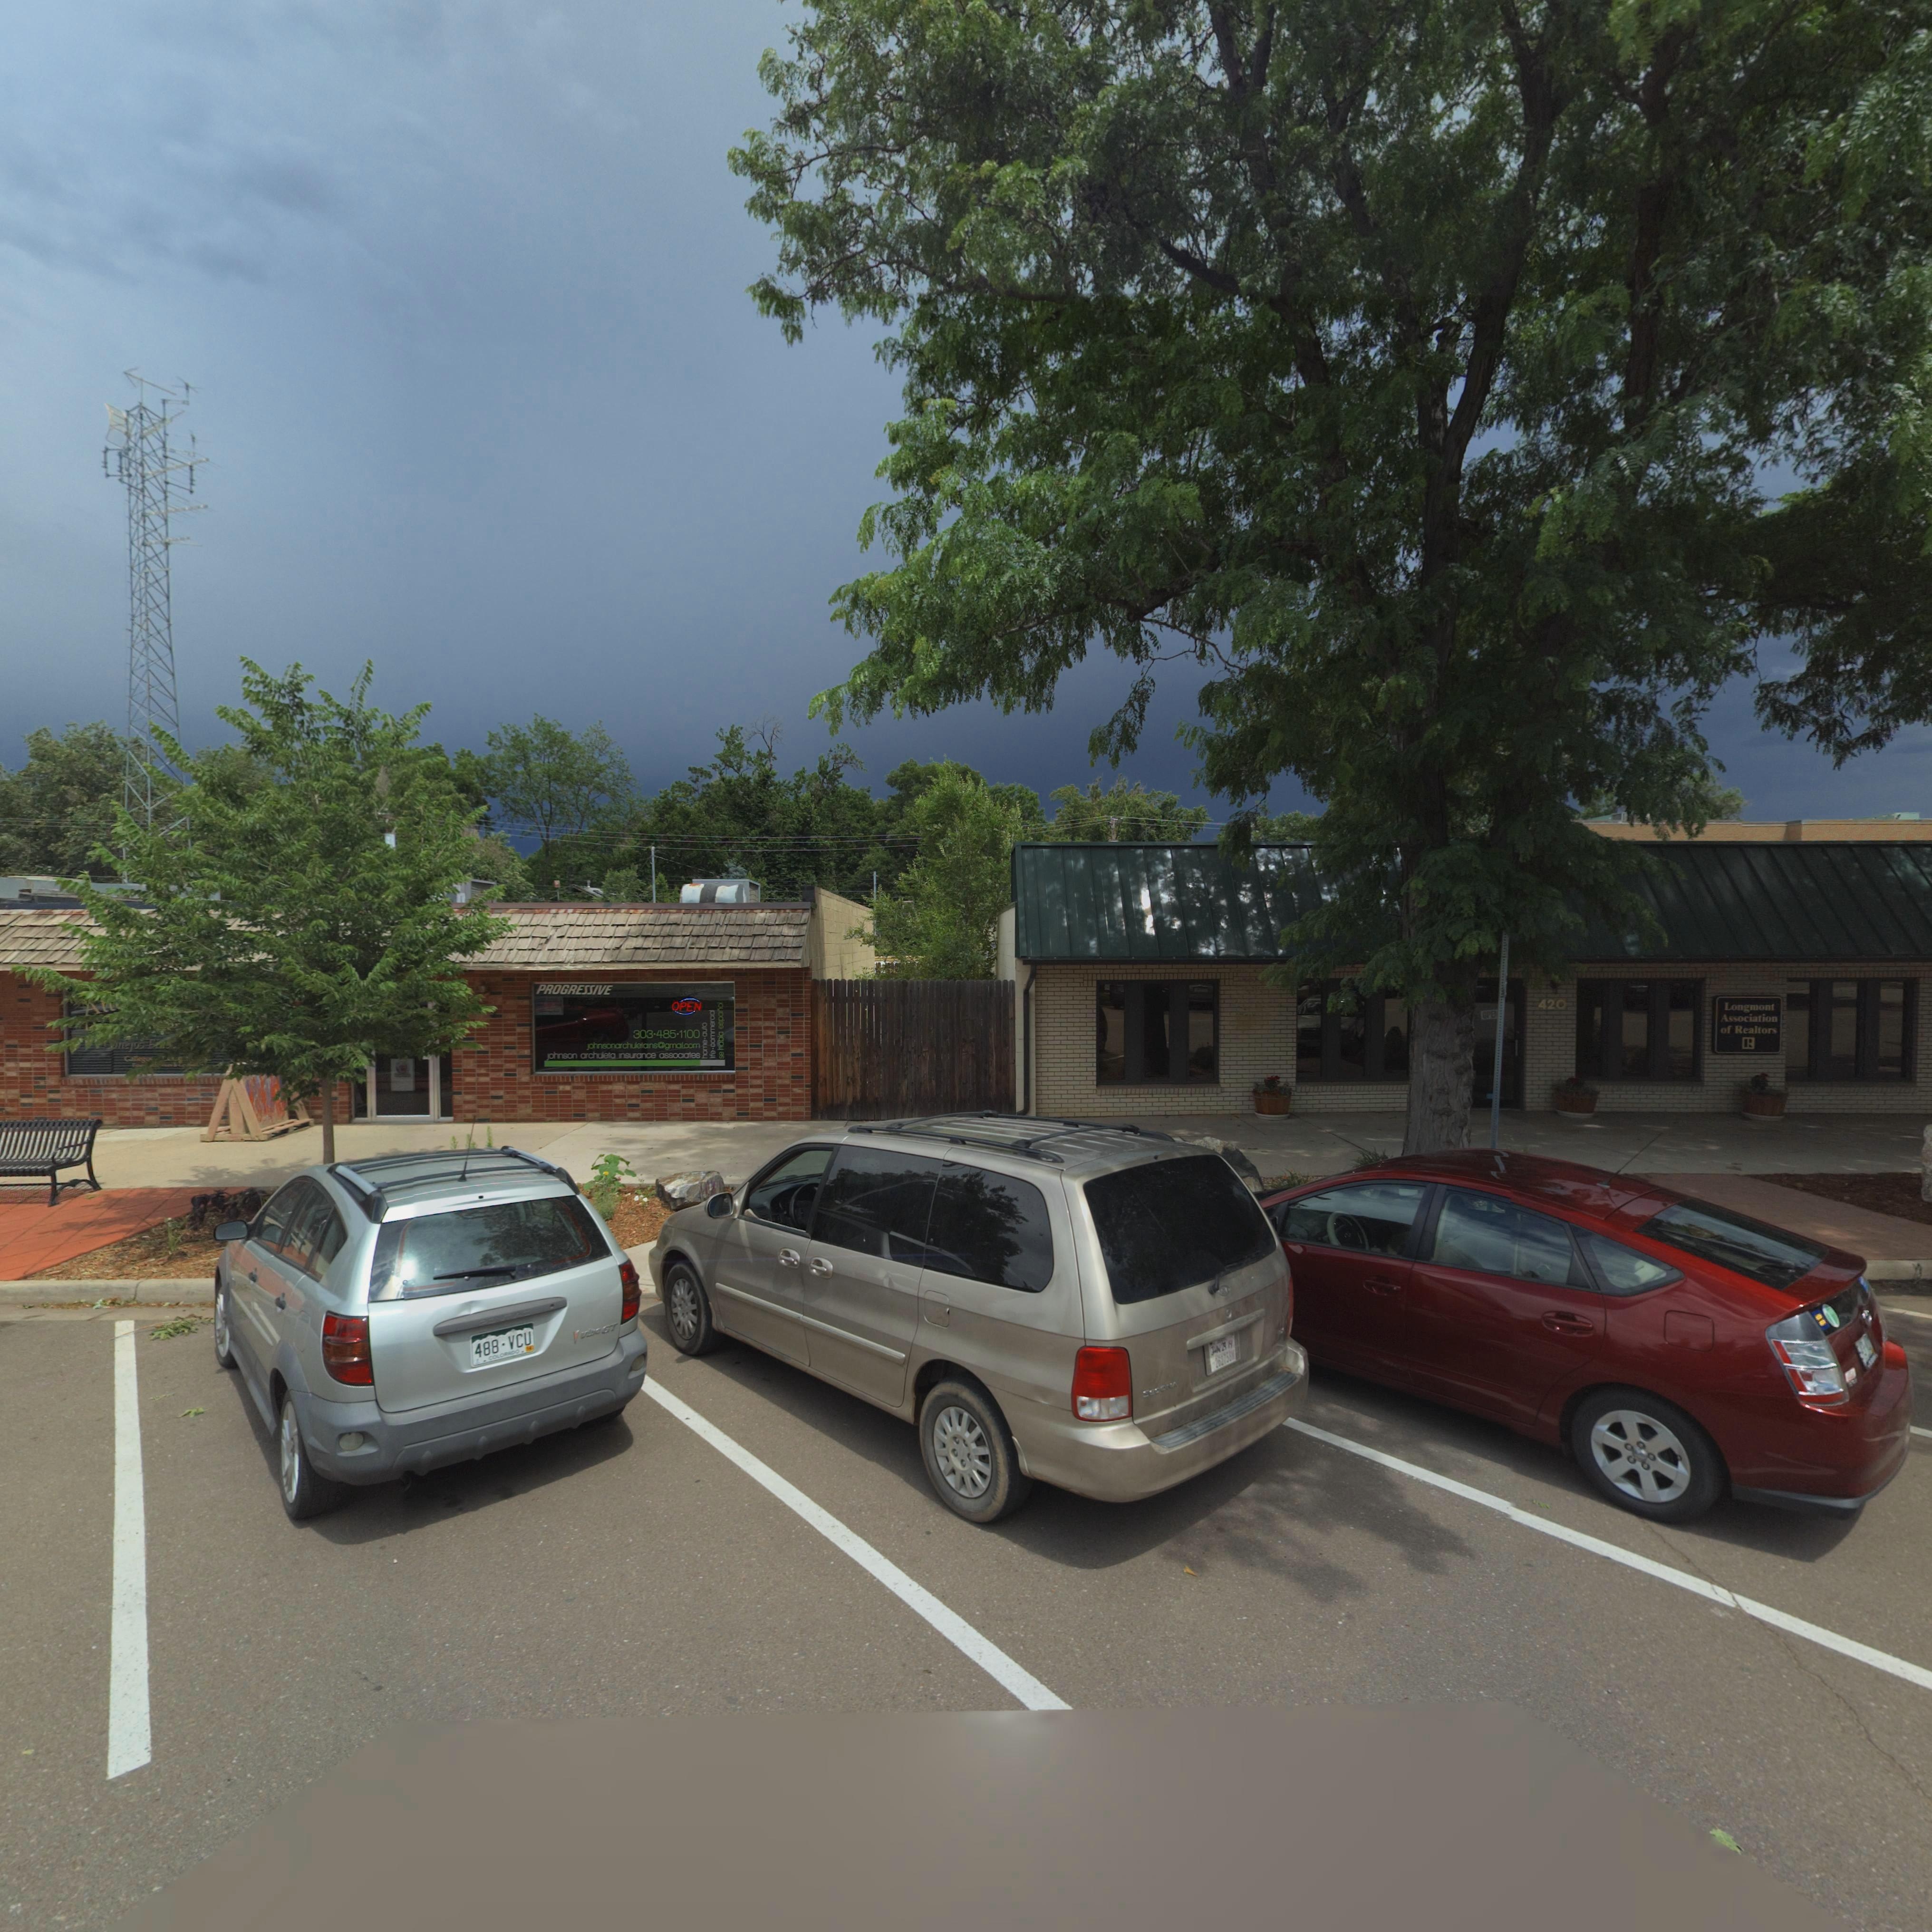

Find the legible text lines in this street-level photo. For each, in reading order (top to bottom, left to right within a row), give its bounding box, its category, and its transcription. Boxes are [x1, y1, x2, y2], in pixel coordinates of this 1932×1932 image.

[85, 994, 117, 1017] BusinessName: A**
[1537, 998, 1566, 1010] StreetNumber: 420
[1724, 1001, 1775, 1014] BusinessName: Longmont
[1719, 1012, 1778, 1022] BusinessName: Association
[1719, 1024, 1778, 1034] BusinessName: of Realtors
[118, 1039, 146, 1053] BusinessName: **ejos
[124, 1055, 145, 1063] BusinessName: Gall***
[545, 1051, 701, 1061] BusinessName: johnson archuleta insurance assiciates